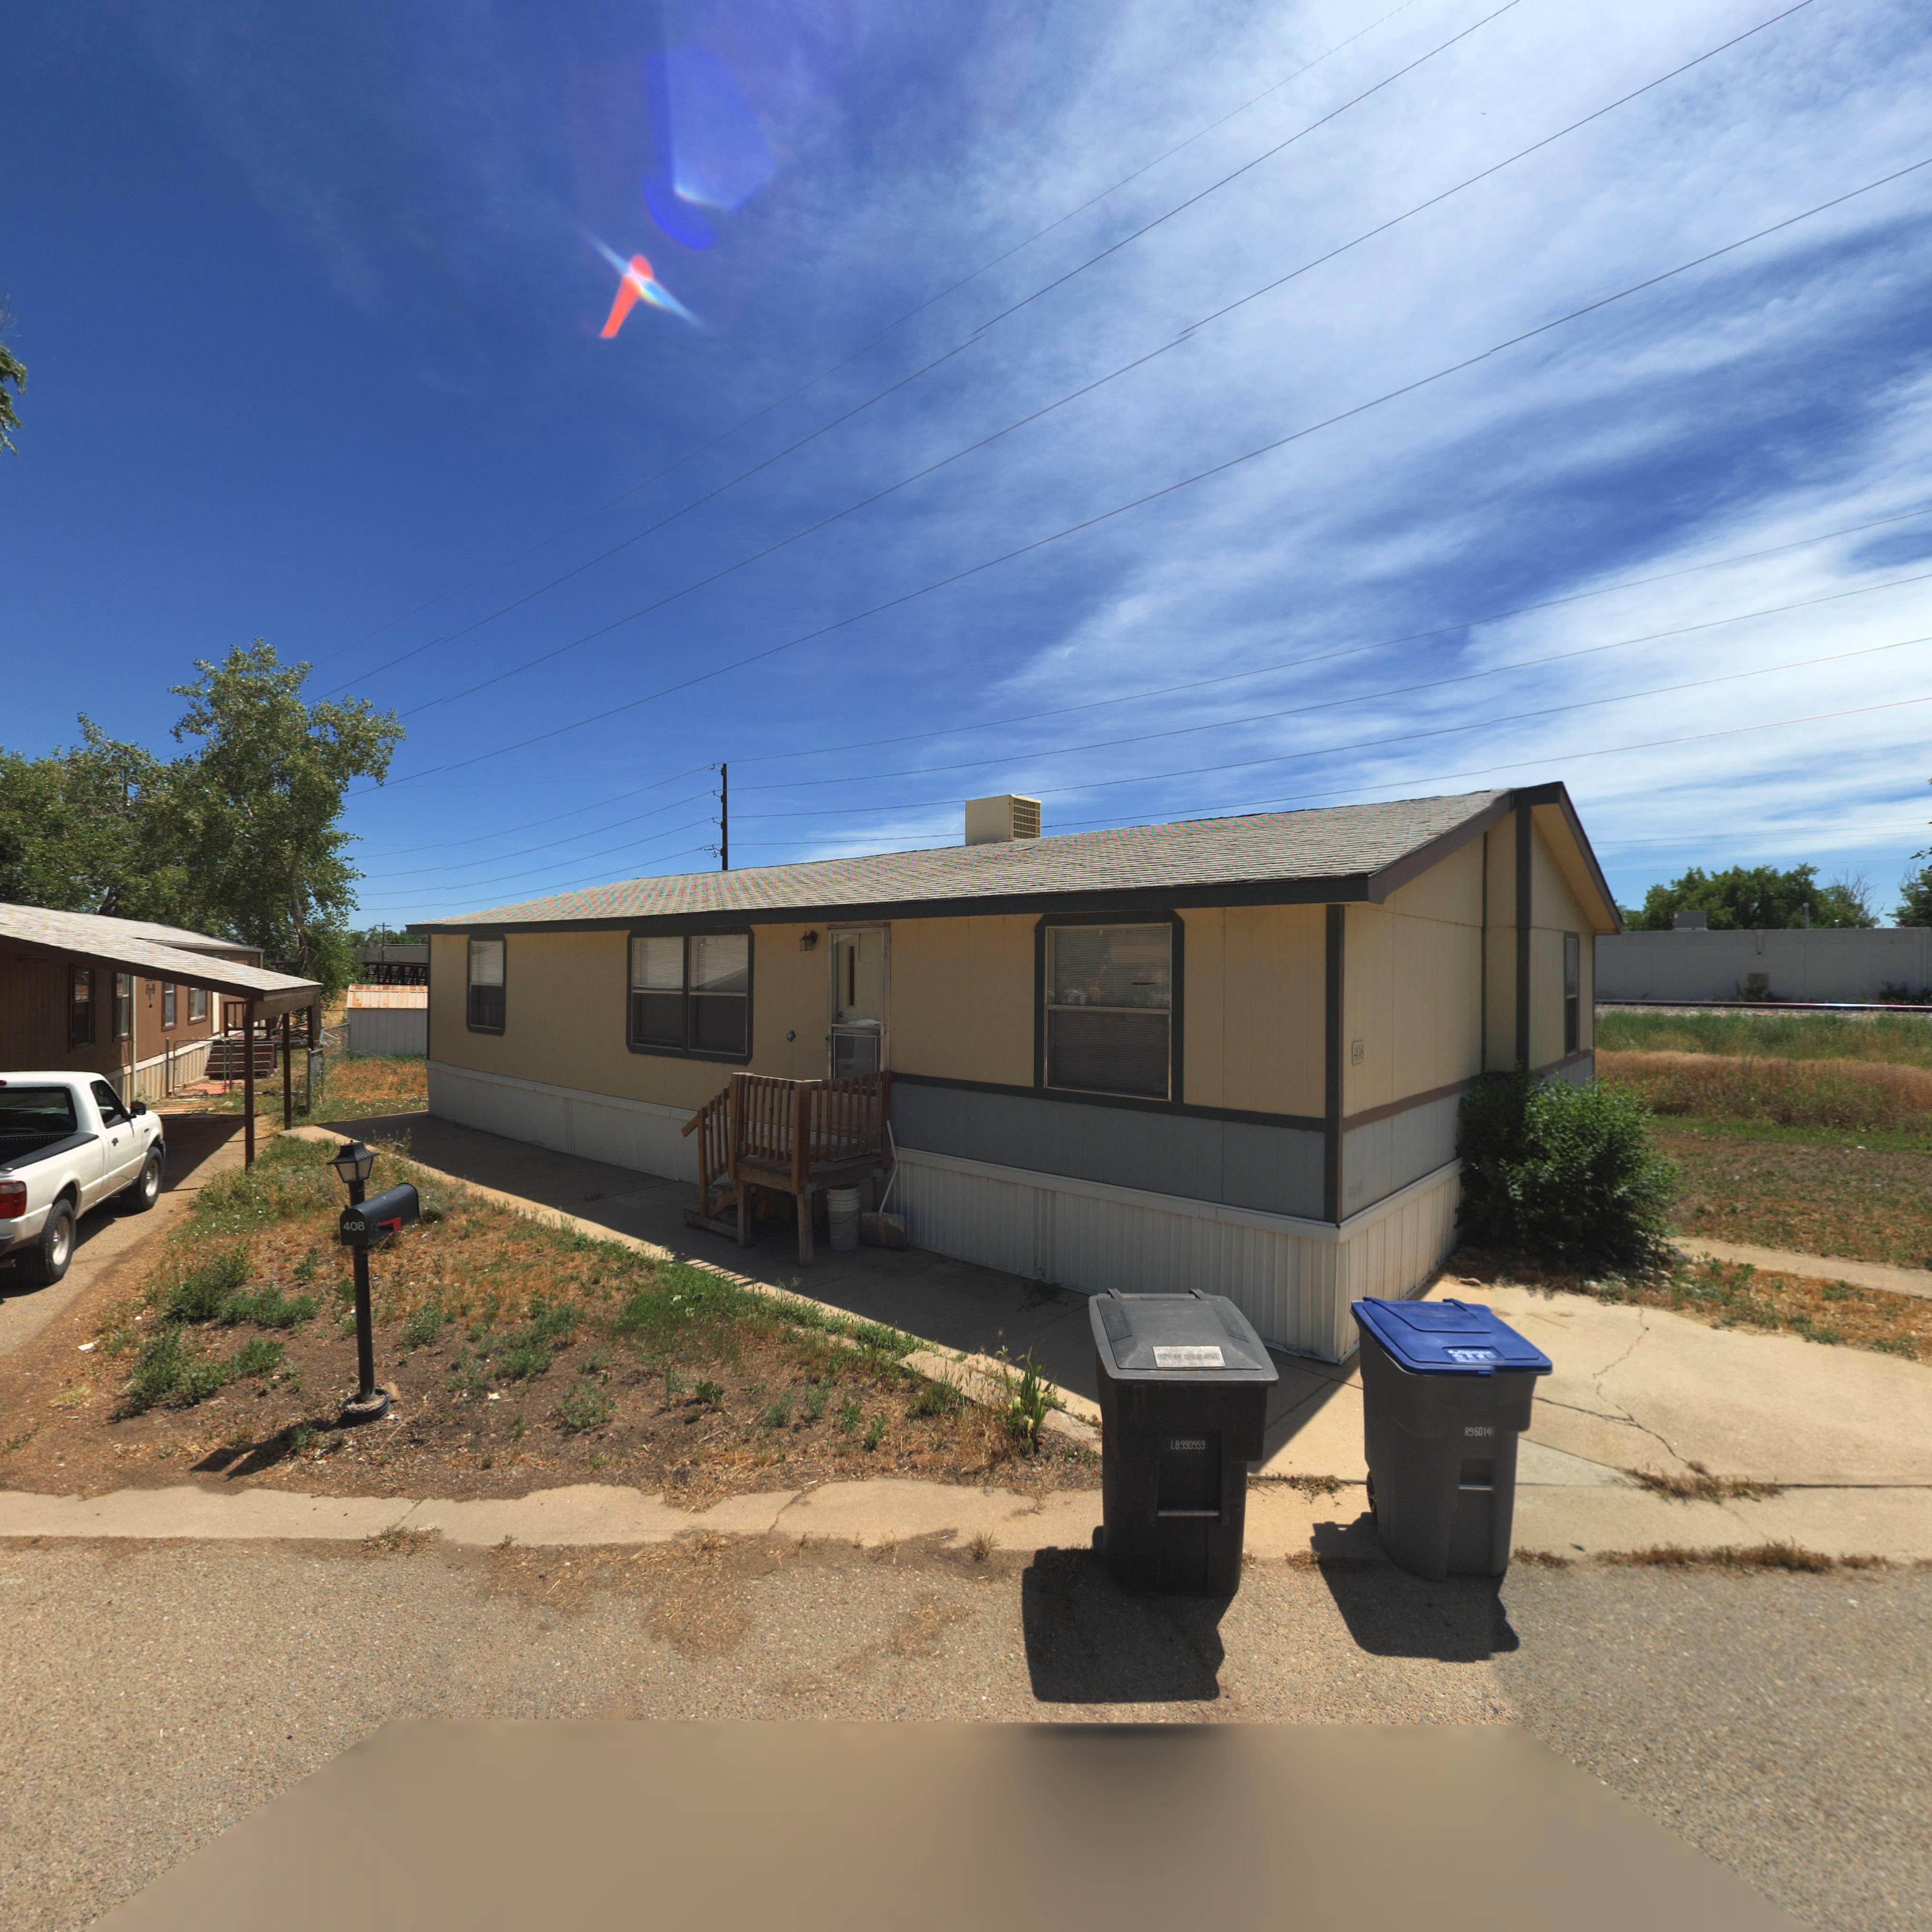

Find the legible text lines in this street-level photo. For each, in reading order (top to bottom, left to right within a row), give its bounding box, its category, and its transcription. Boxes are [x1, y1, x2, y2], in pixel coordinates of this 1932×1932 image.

[1352, 1043, 1364, 1061] StreetNumber: 408
[342, 1220, 365, 1231] StreetNumber: 408